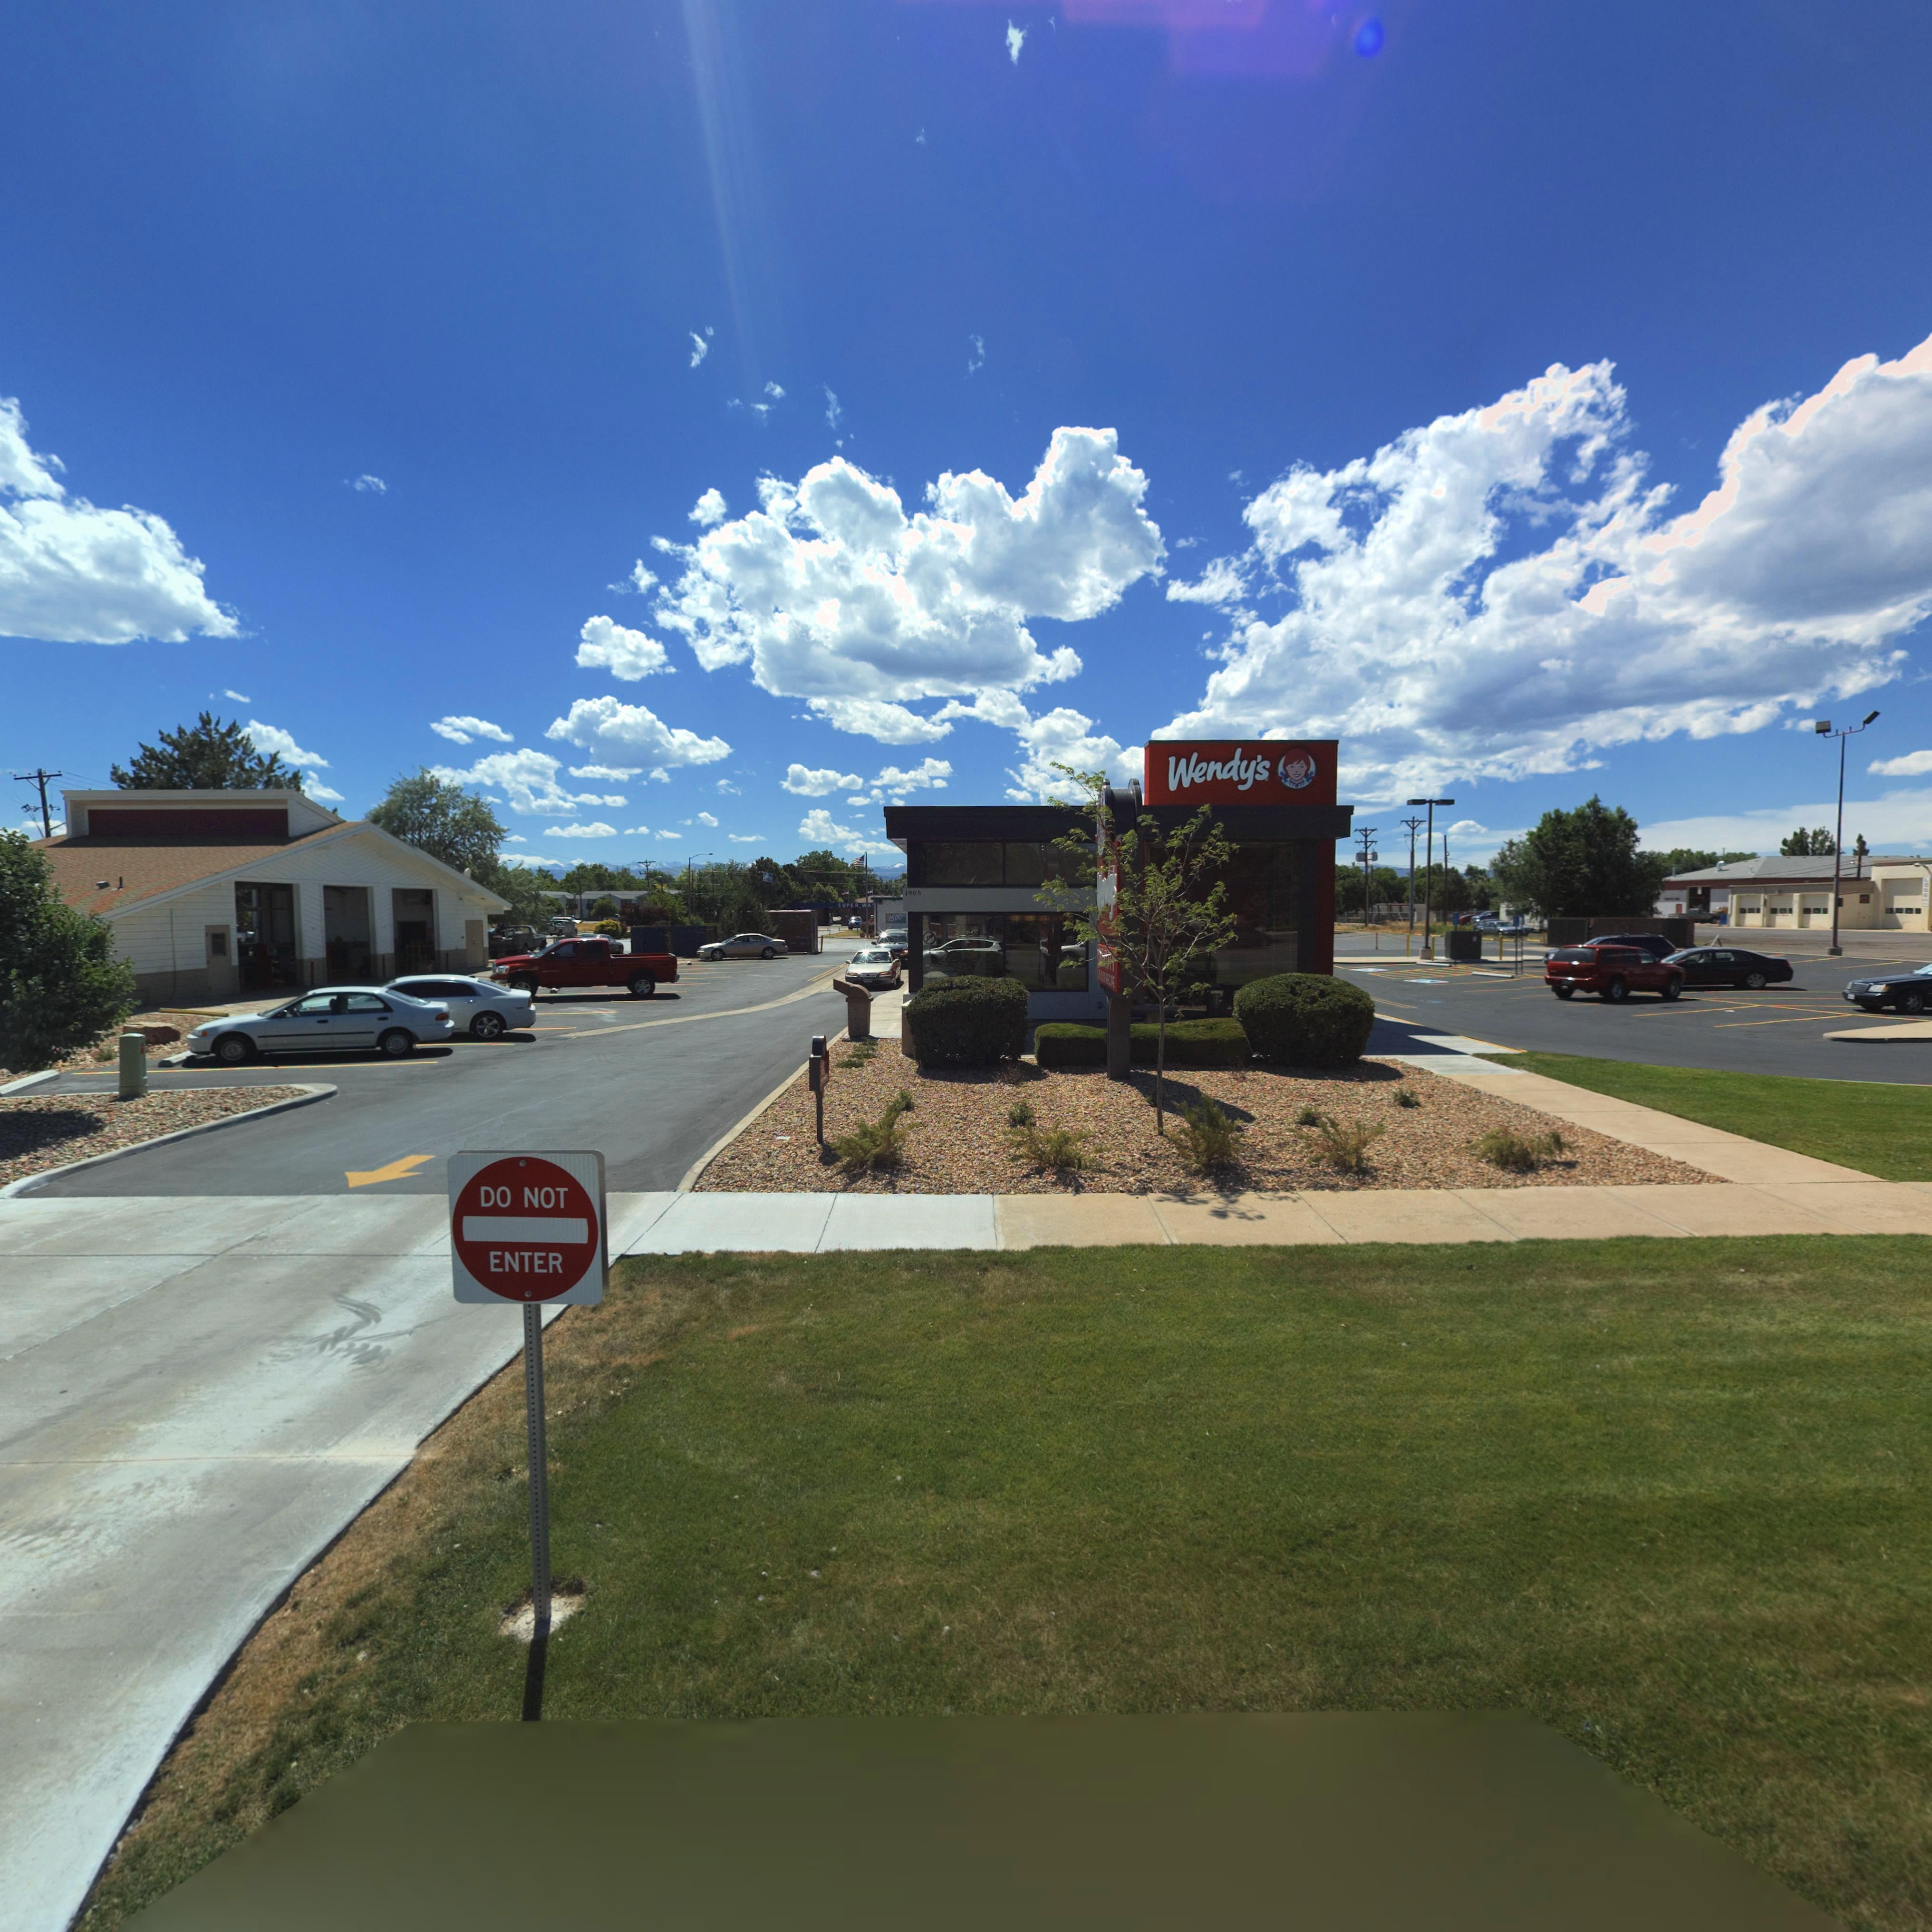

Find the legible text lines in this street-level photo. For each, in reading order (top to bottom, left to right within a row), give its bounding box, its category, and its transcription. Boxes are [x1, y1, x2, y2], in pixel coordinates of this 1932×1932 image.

[1167, 745, 1272, 792] BusinessName: Wendy's
[838, 903, 871, 908] BusinessName: SUPER WA
[905, 890, 921, 895] StreetNumber: 1905
[1096, 870, 1118, 918] BusinessName: W******